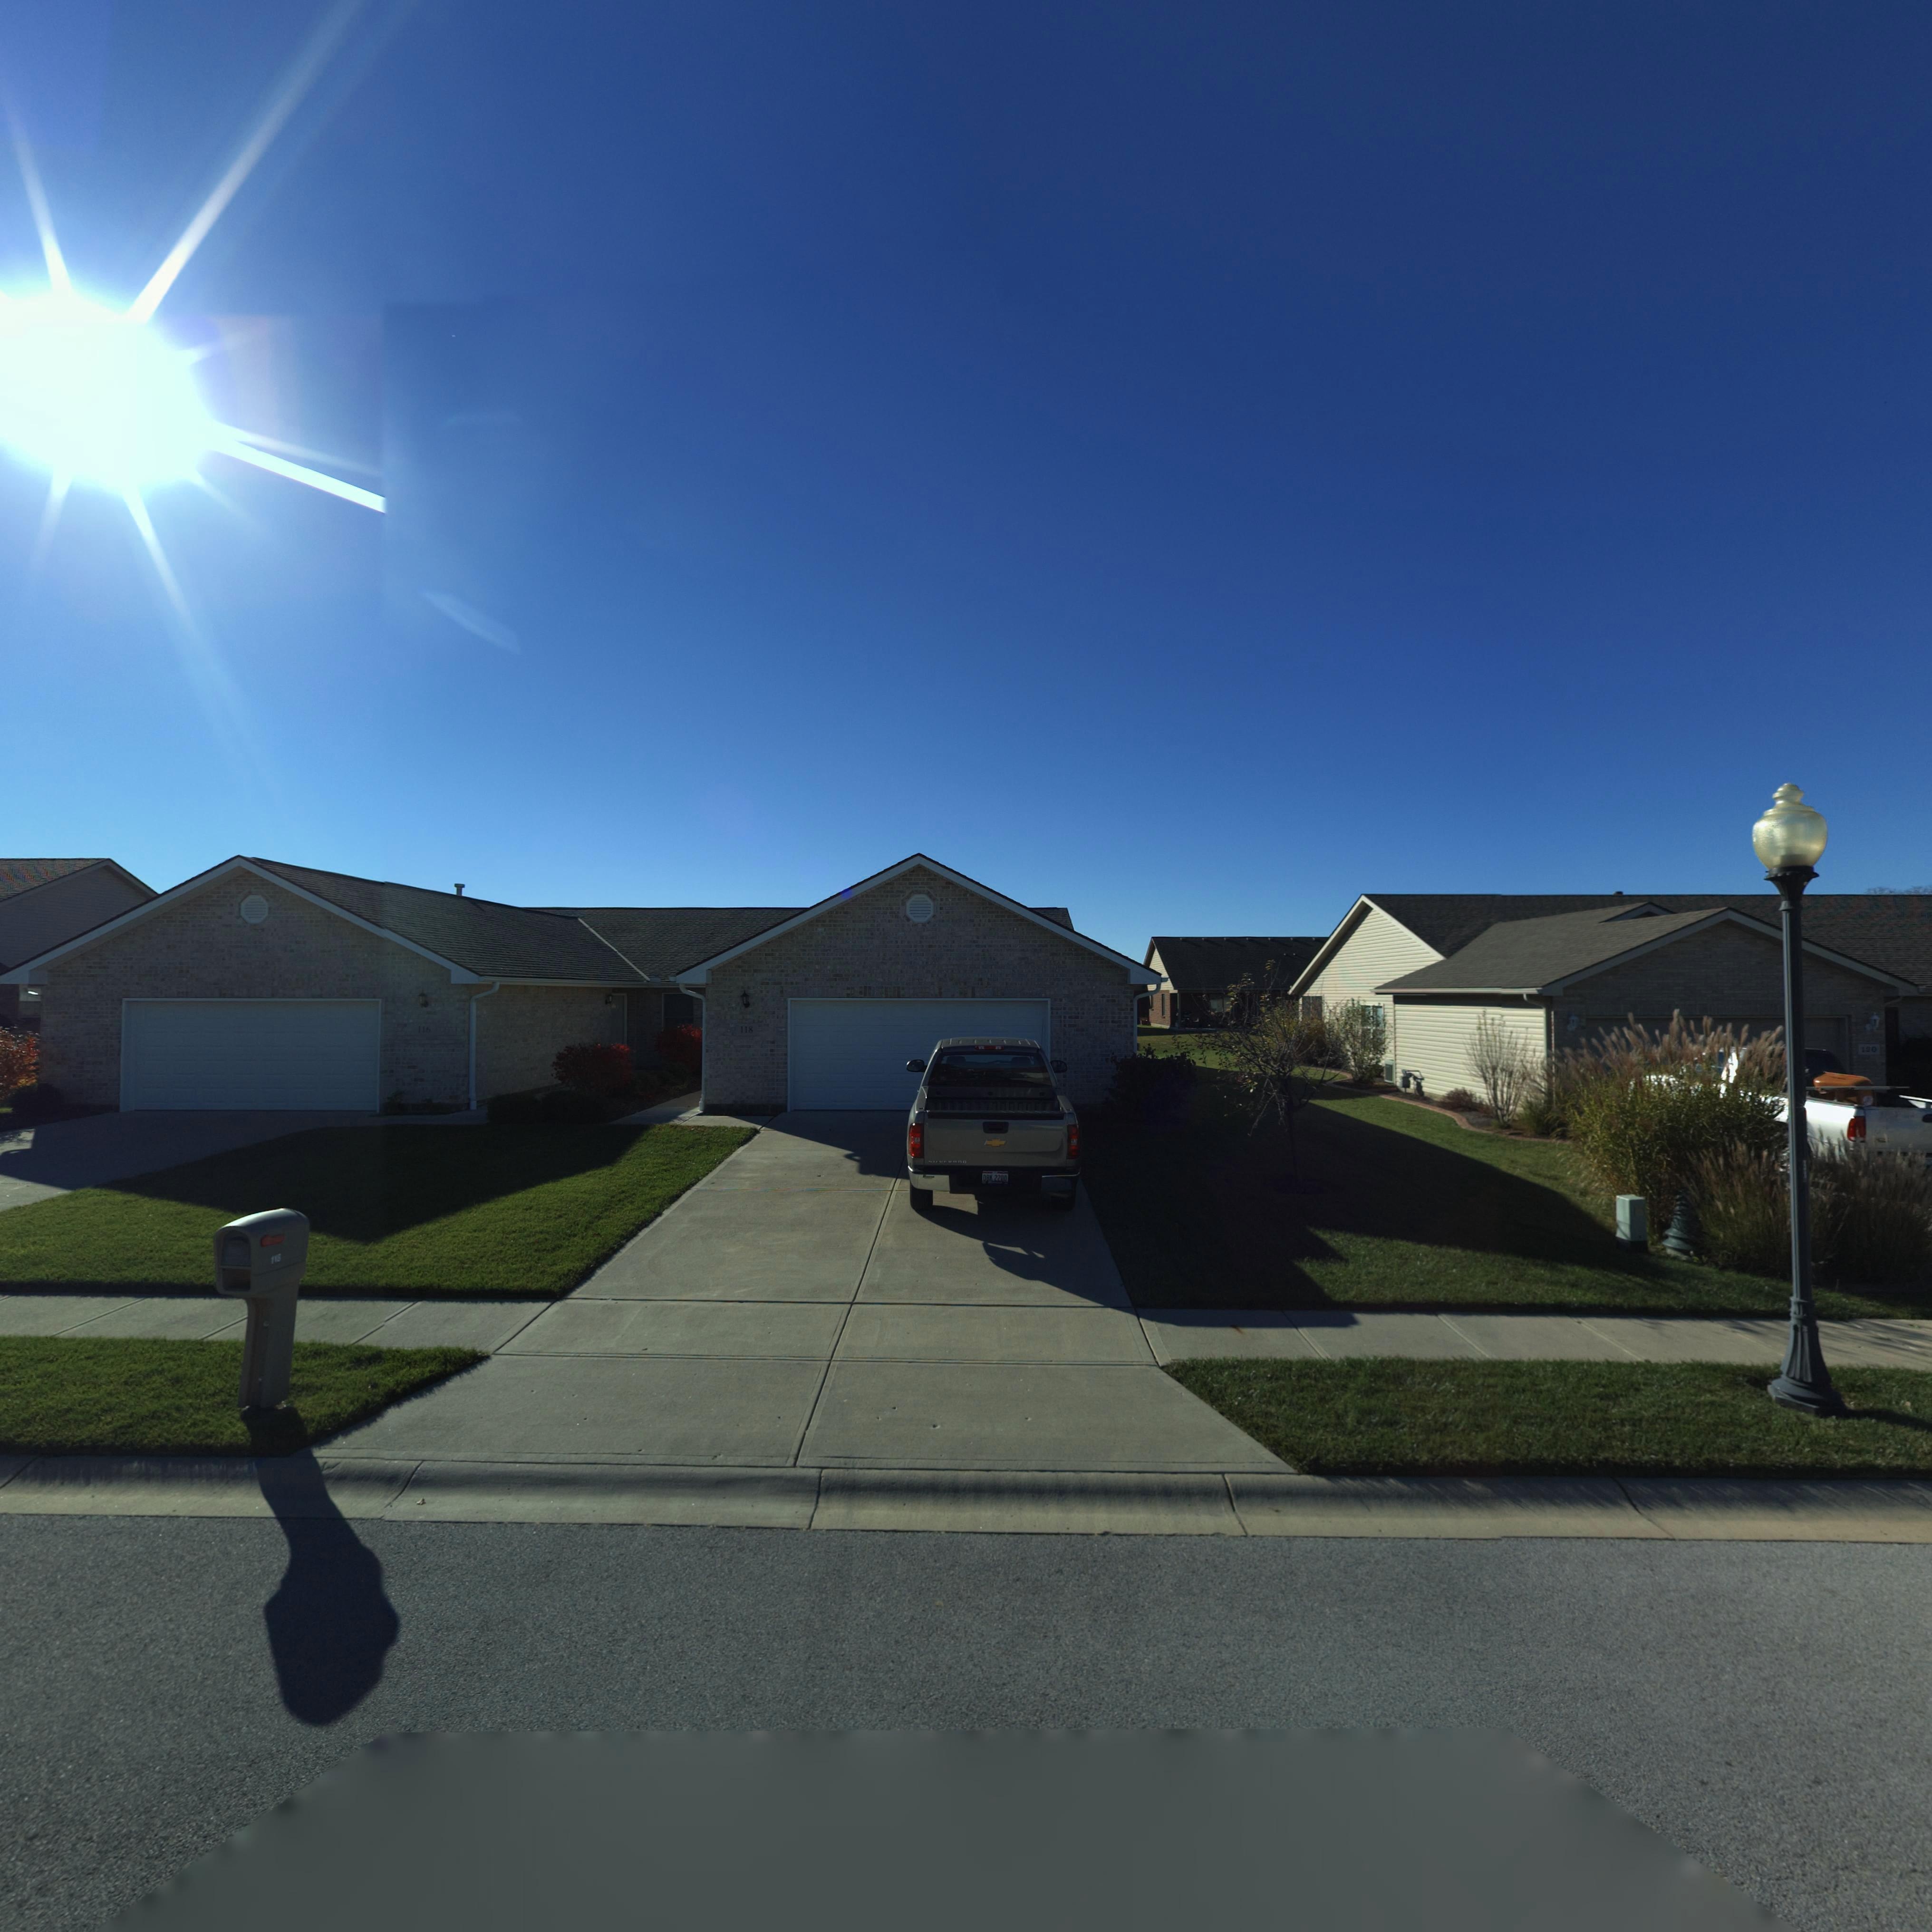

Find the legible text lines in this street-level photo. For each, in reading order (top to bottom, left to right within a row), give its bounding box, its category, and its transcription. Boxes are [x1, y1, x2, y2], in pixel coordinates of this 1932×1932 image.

[417, 1025, 432, 1034] StreetNumber: 116
[740, 1025, 754, 1034] StreetNumber: 118
[1860, 1045, 1878, 1053] StreetNumber: 1*0